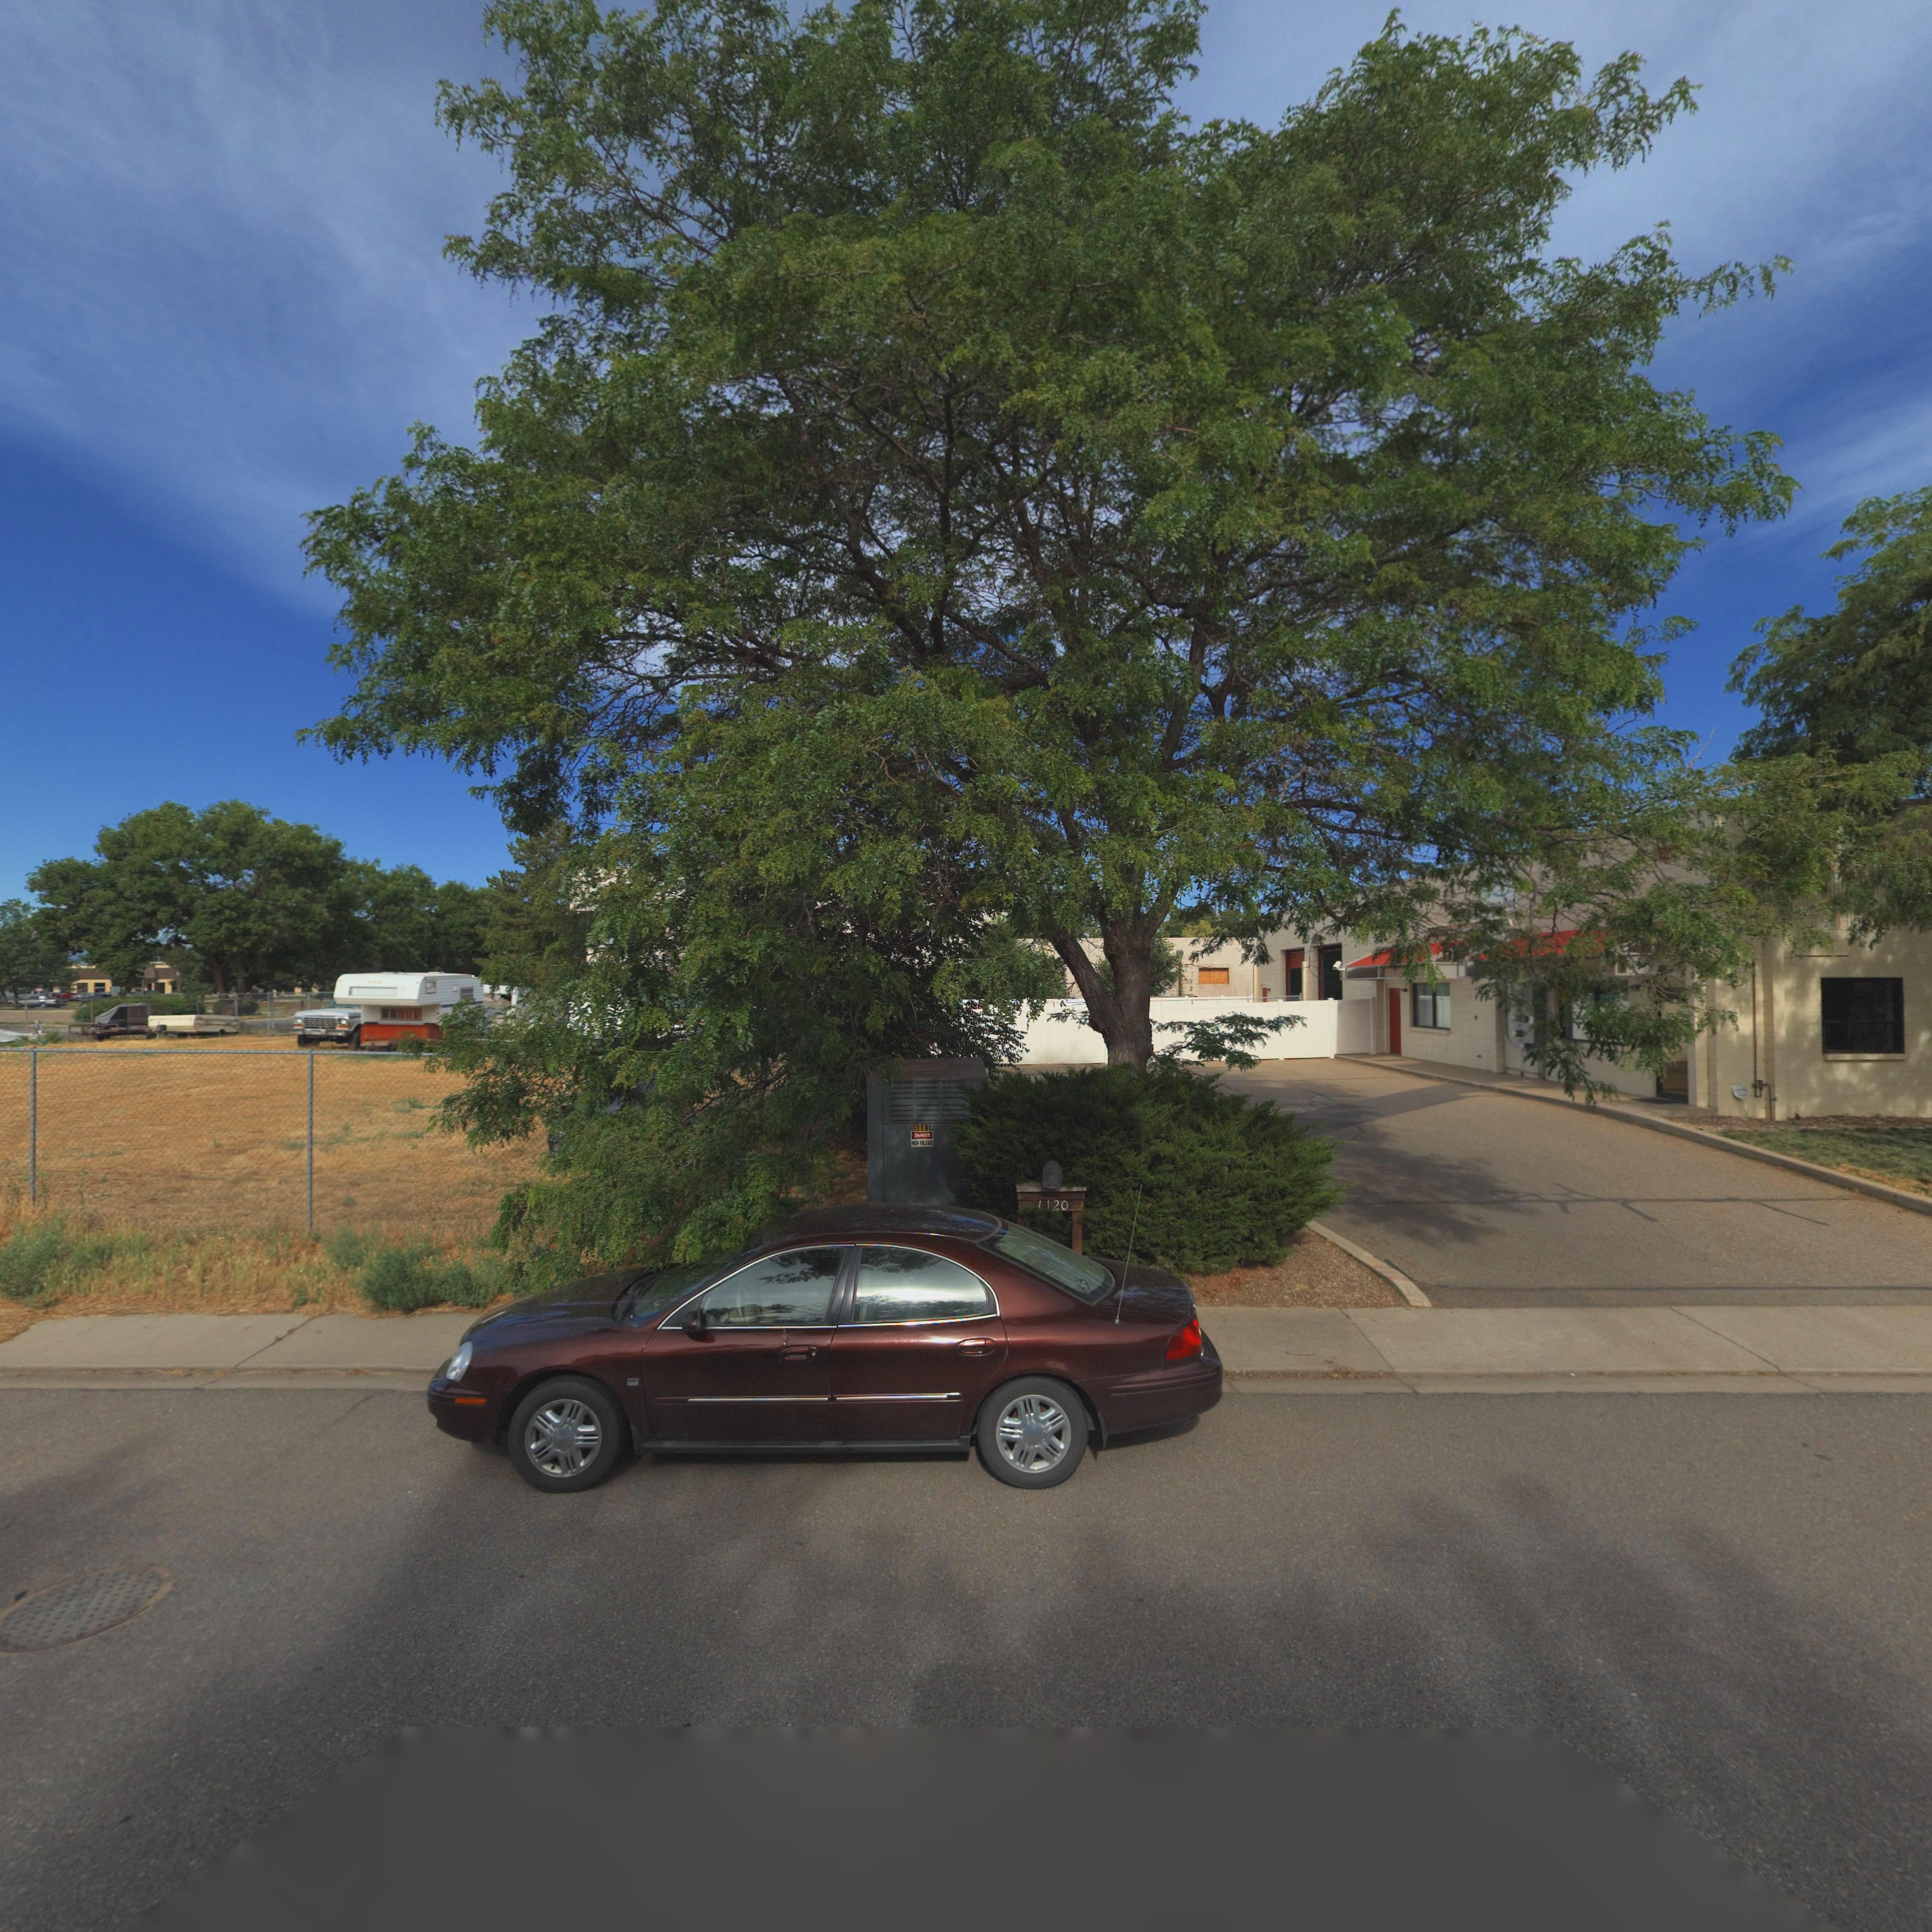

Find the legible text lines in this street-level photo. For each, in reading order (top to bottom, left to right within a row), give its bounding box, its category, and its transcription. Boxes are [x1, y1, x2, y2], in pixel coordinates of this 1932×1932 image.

[1037, 1199, 1069, 1211] StreetNumber: 1120